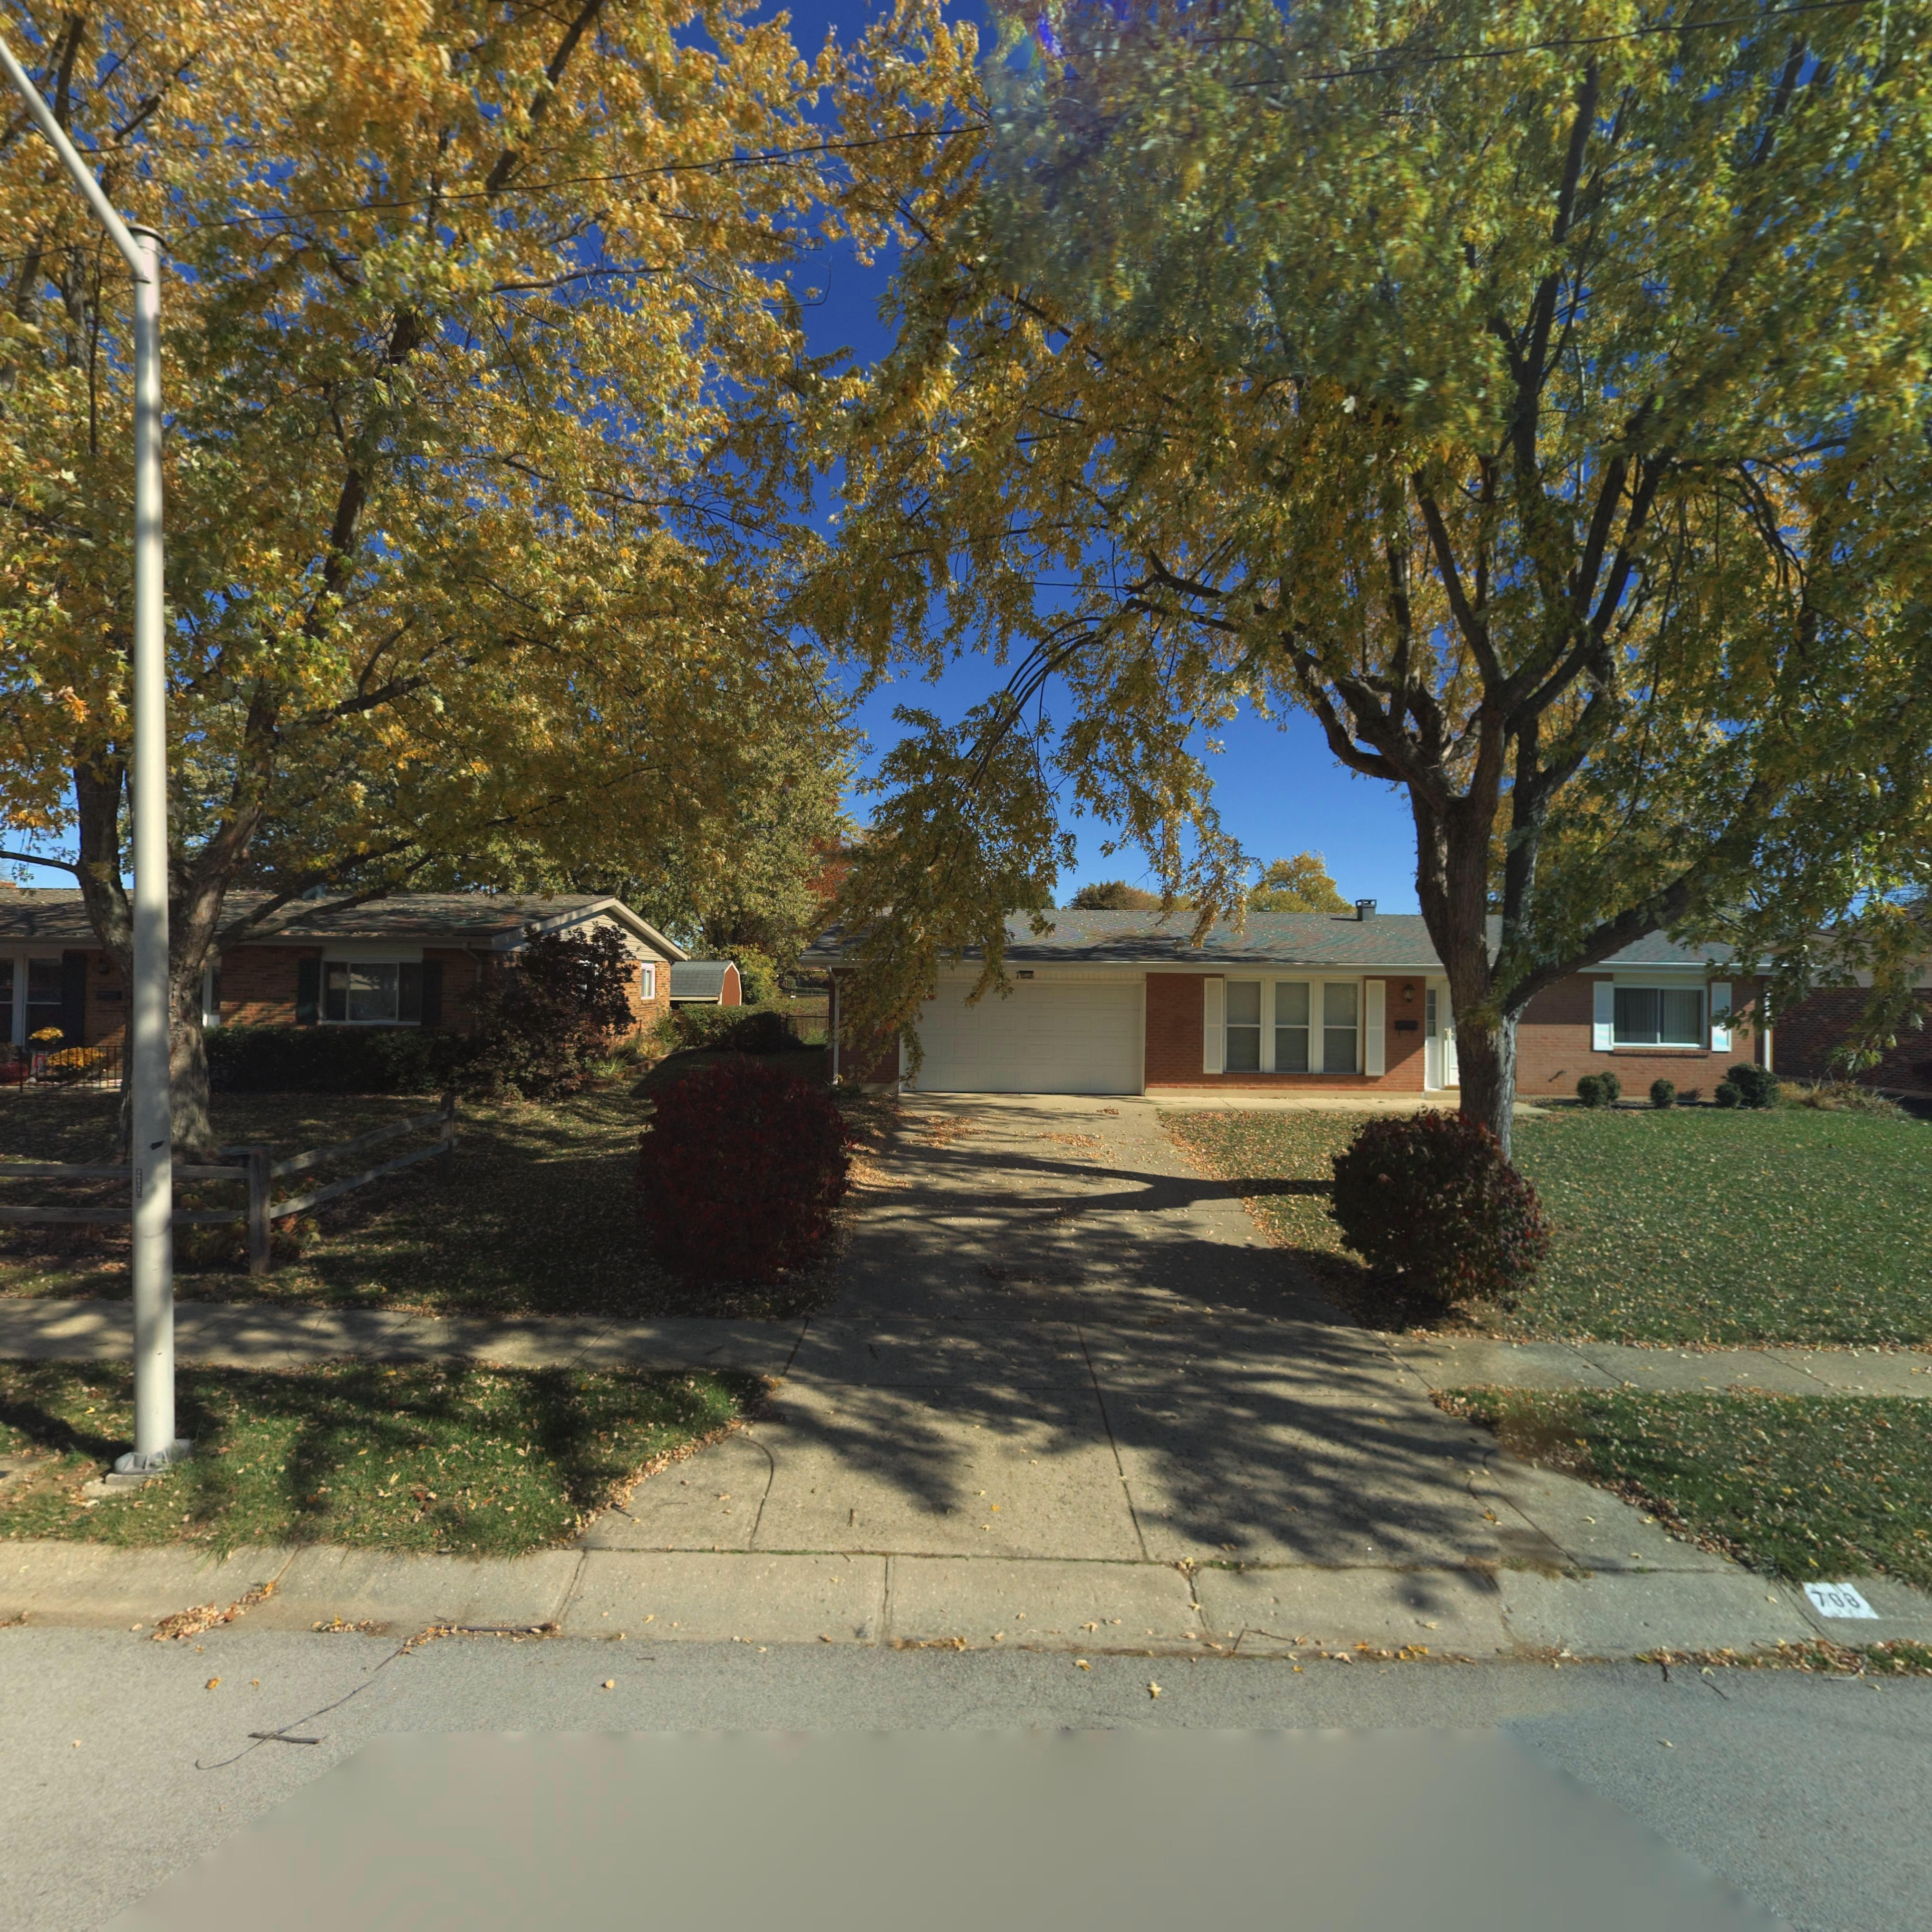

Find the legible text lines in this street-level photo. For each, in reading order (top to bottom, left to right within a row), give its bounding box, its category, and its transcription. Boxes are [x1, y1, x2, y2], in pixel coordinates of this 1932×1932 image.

[1015, 971, 1020, 979] StreetNumber: 7
[1809, 1590, 1862, 1608] StreetNumber: 708